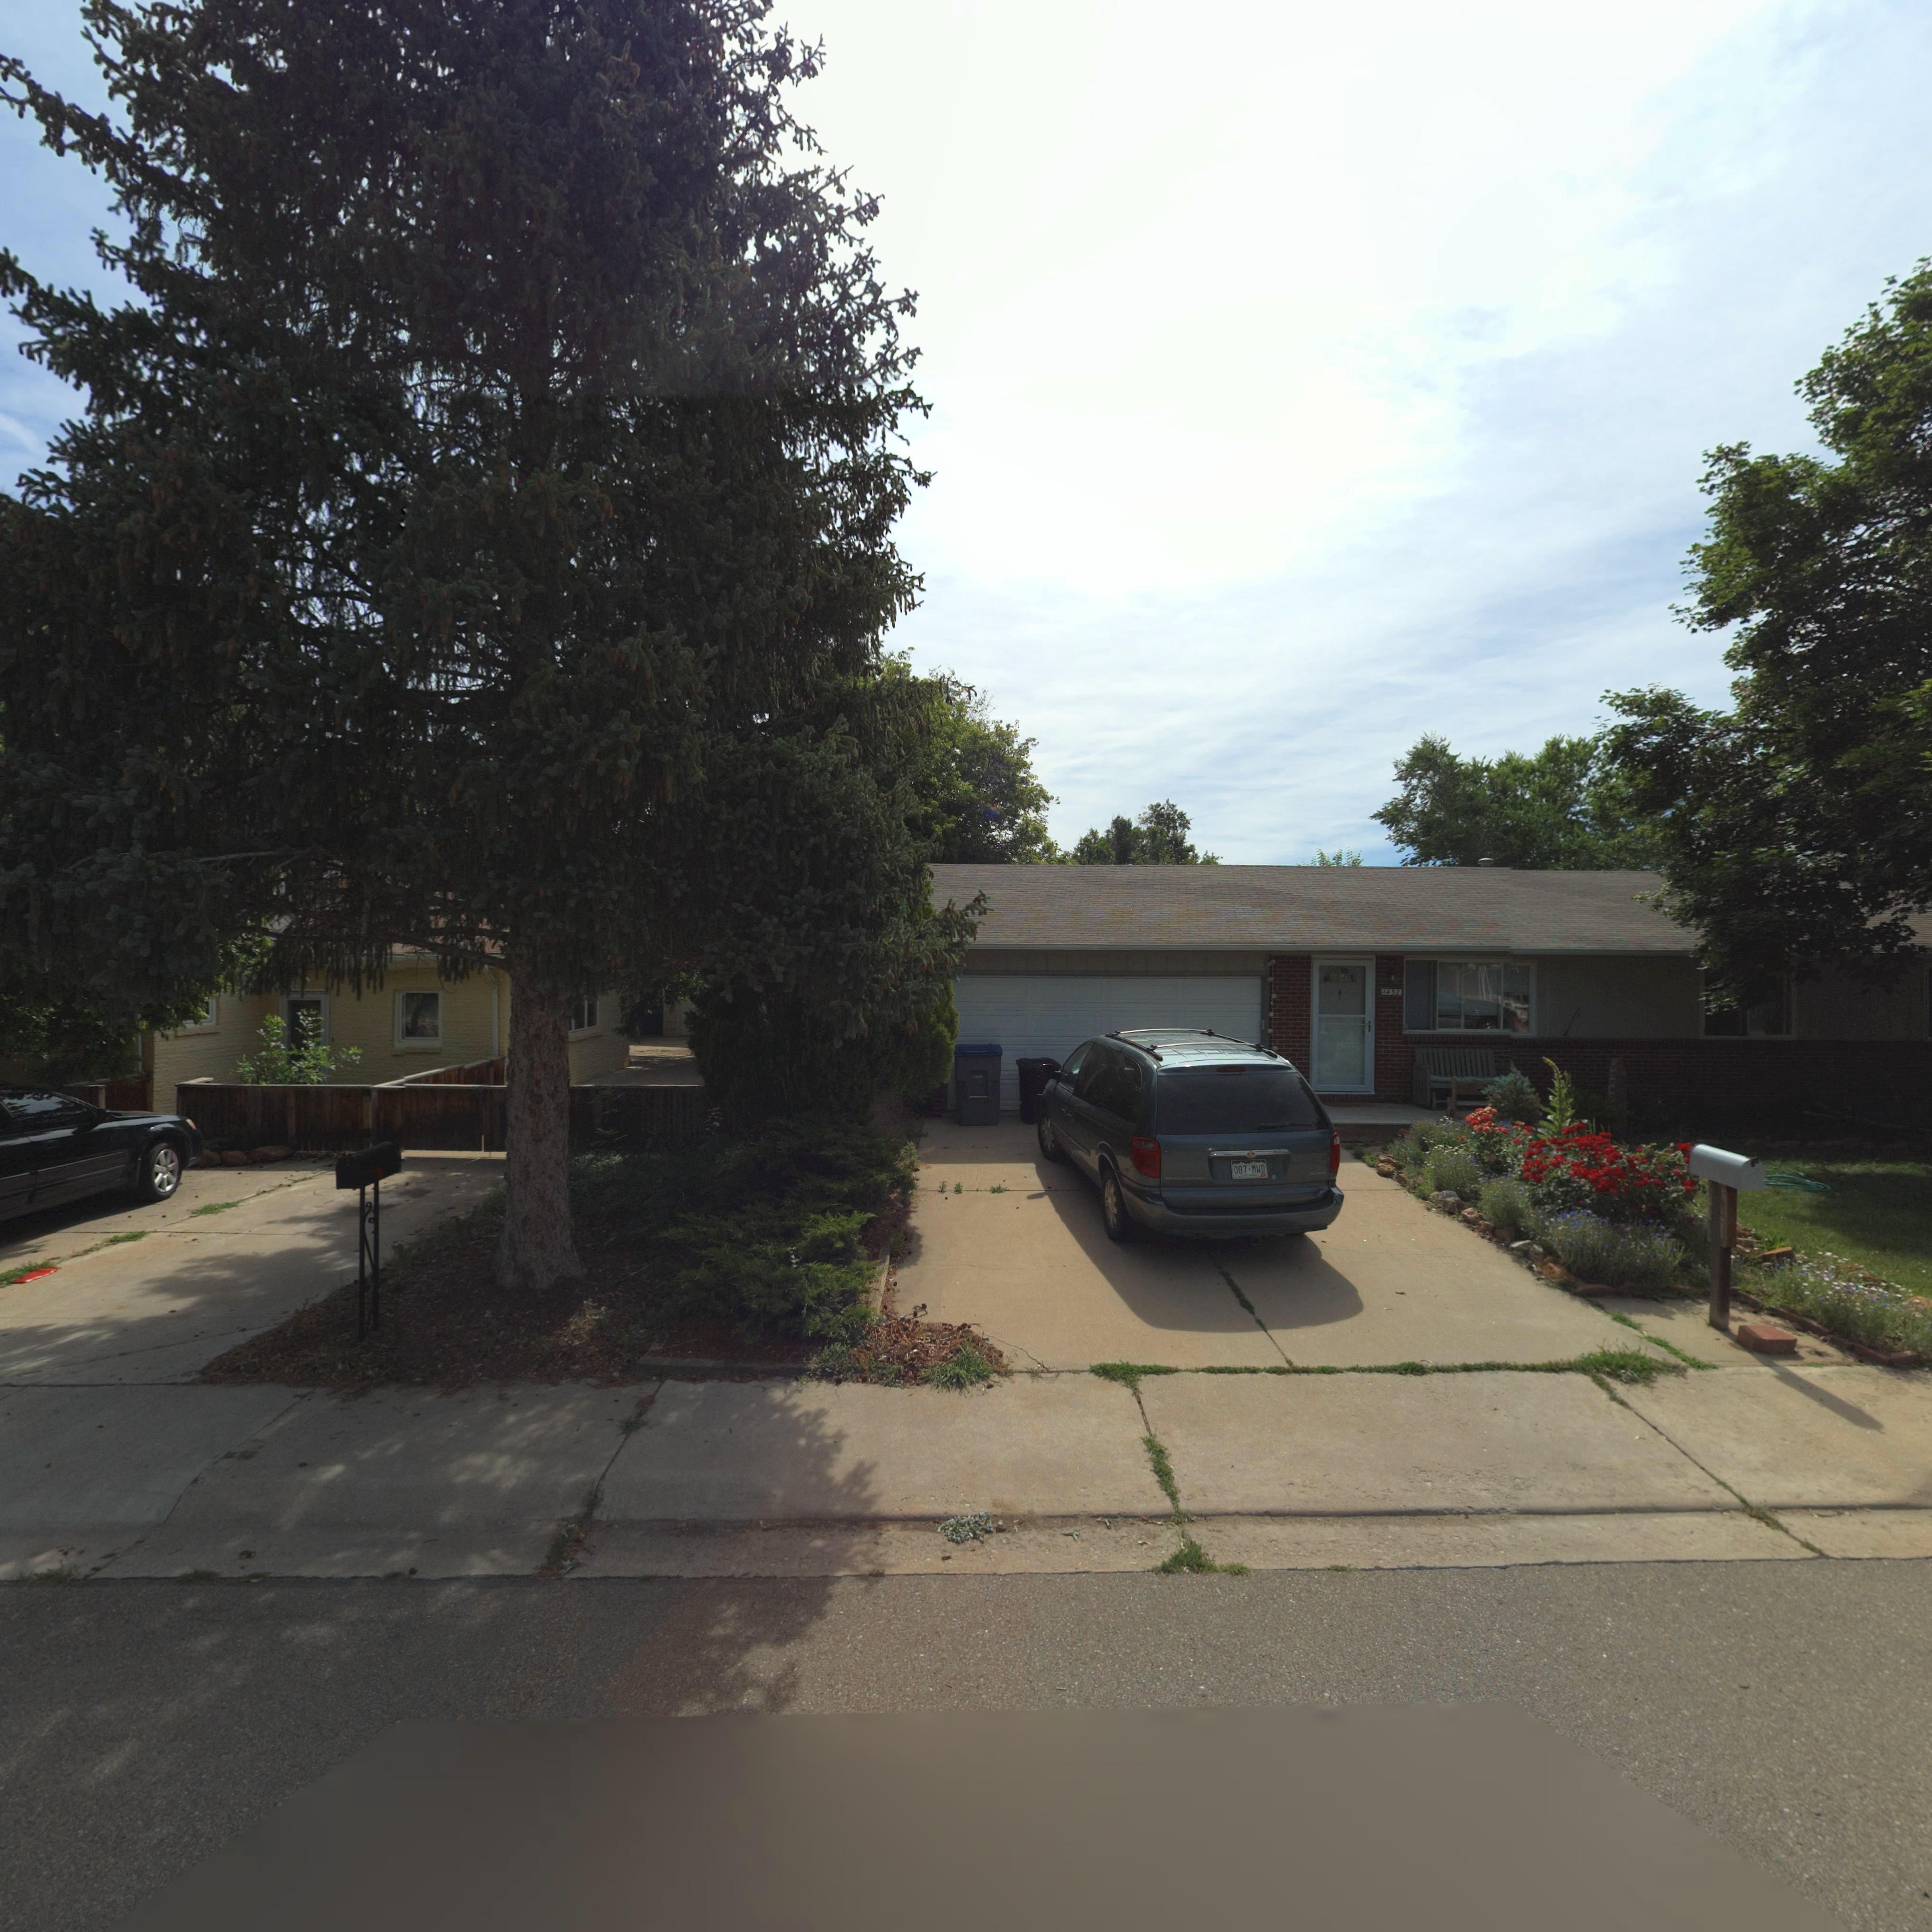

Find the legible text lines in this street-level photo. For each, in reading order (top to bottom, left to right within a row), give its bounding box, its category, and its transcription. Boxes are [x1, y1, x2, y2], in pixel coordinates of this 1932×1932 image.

[1383, 989, 1400, 995] StreetNumber: 1432